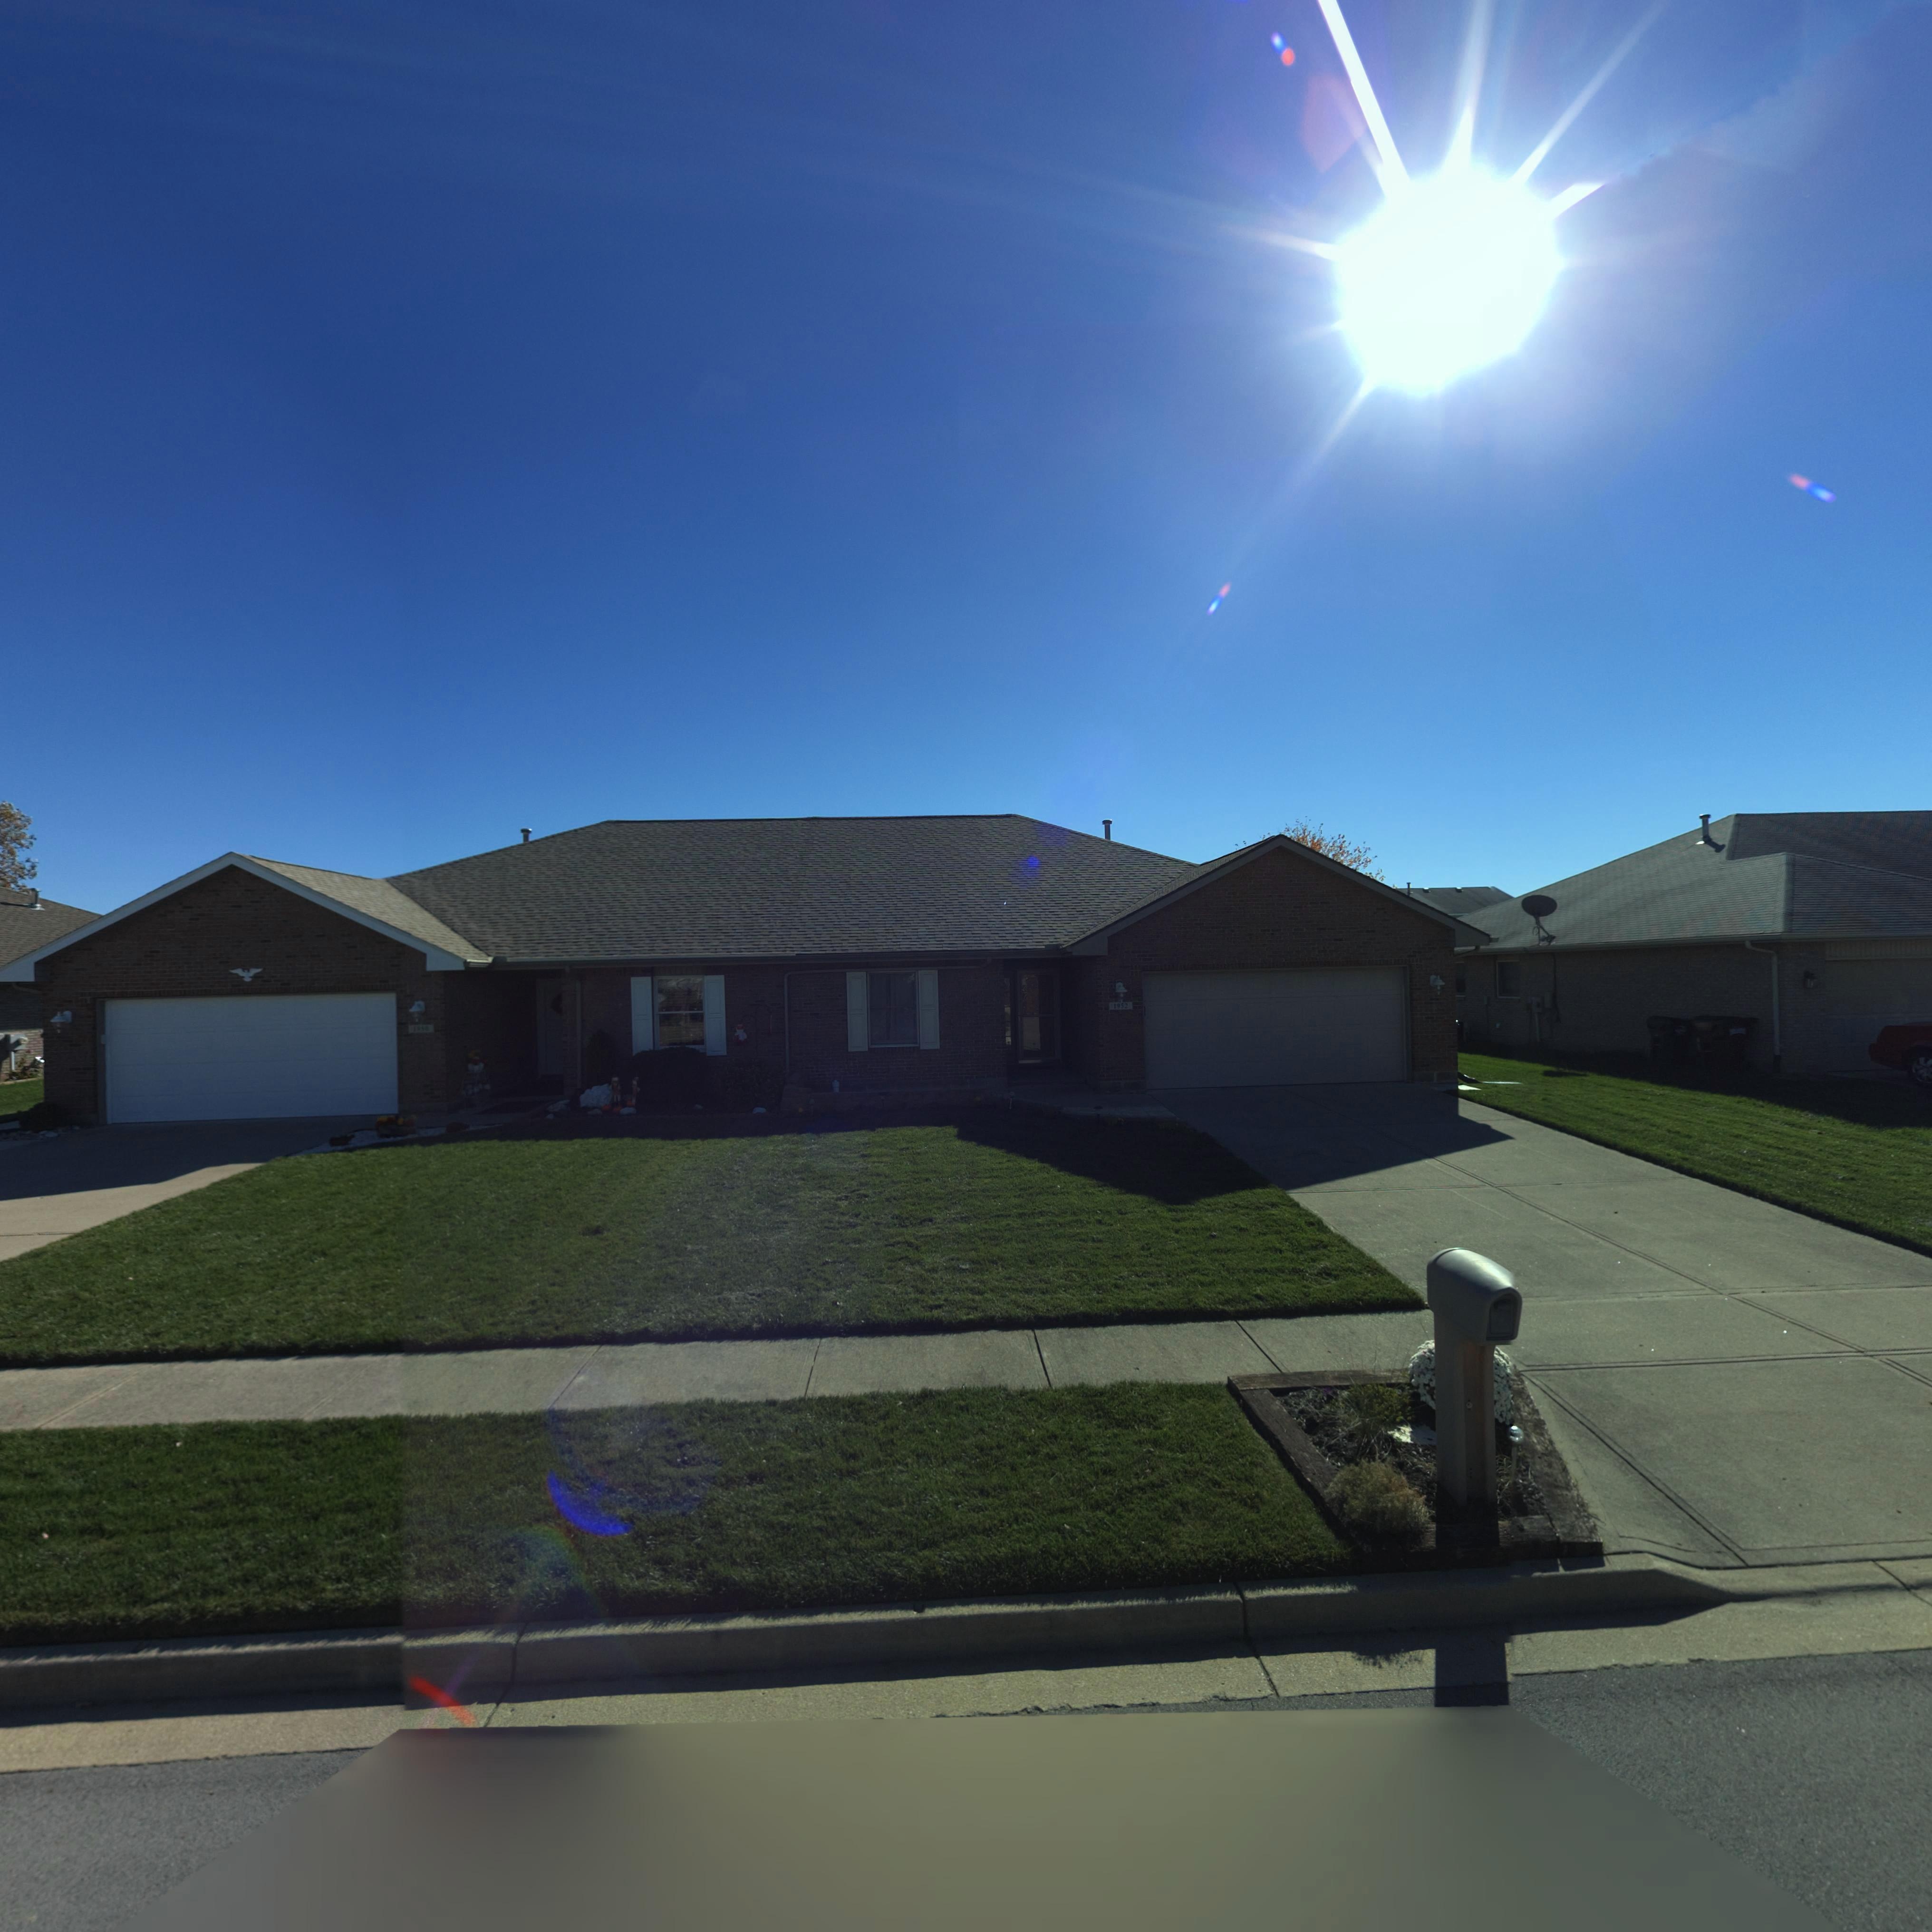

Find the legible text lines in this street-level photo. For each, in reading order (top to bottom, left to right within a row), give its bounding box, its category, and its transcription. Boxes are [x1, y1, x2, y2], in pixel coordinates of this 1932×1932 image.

[1113, 1002, 1129, 1010] StreetNumber: 1952